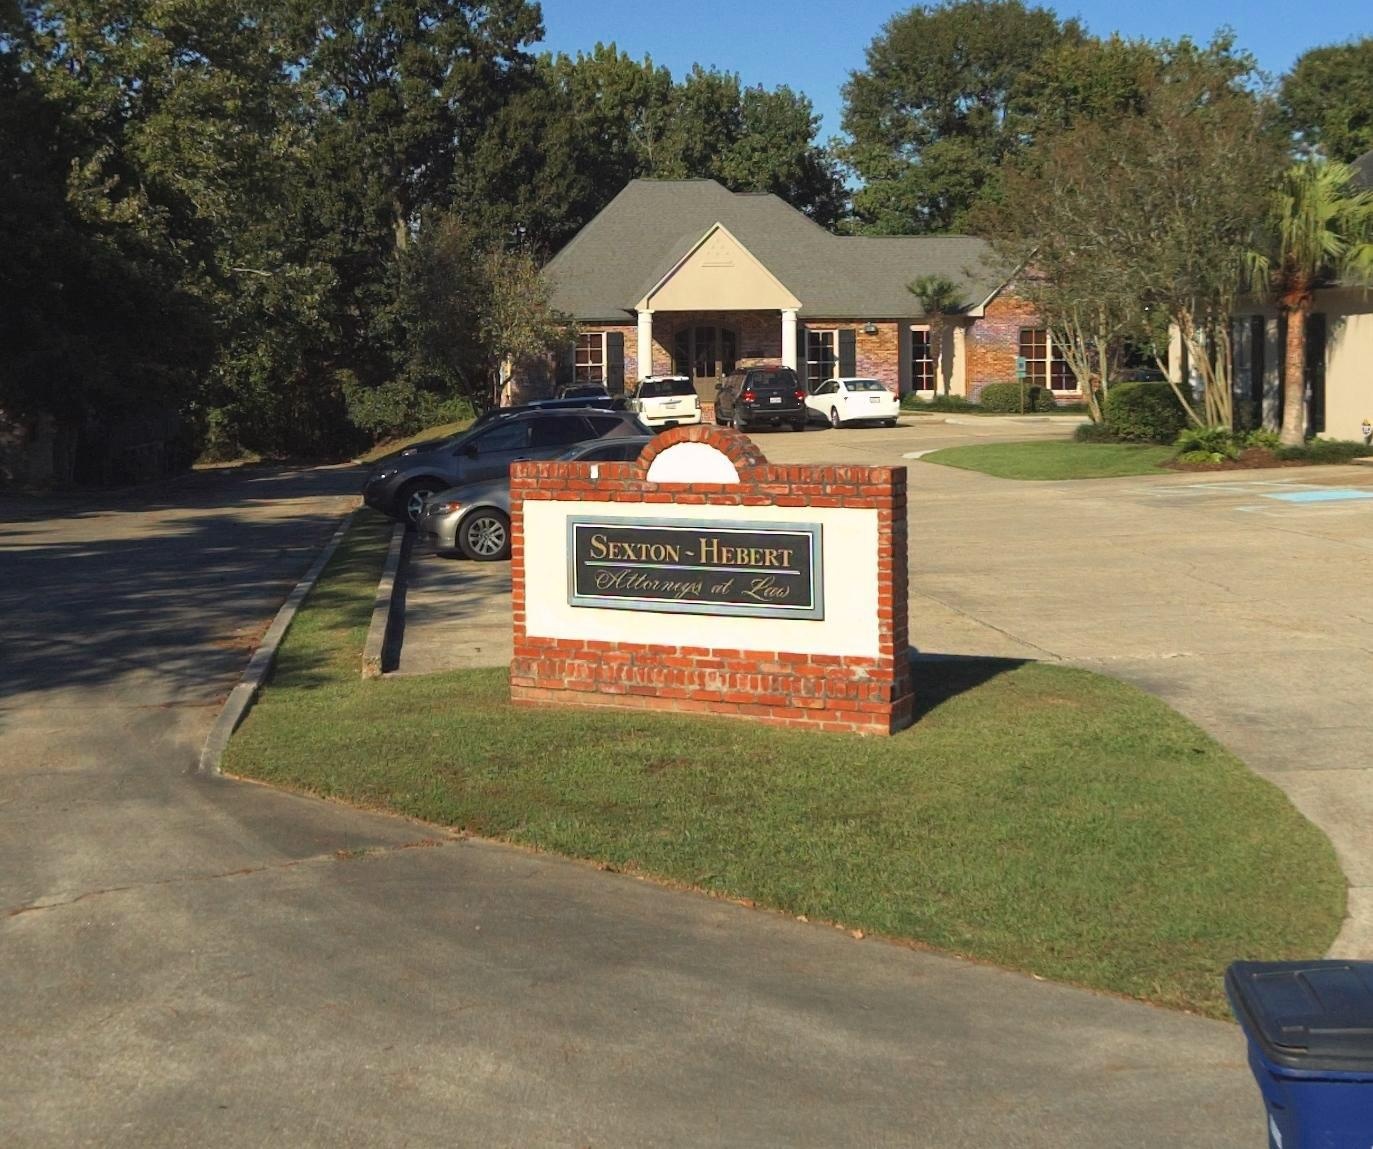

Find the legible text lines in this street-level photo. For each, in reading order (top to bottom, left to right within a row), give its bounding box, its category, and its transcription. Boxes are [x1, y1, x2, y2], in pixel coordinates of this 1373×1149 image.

[589, 533, 794, 568] BusinessName: SEXTON-HEBERT
[593, 567, 791, 603] BusinessName: Attorneys at Law